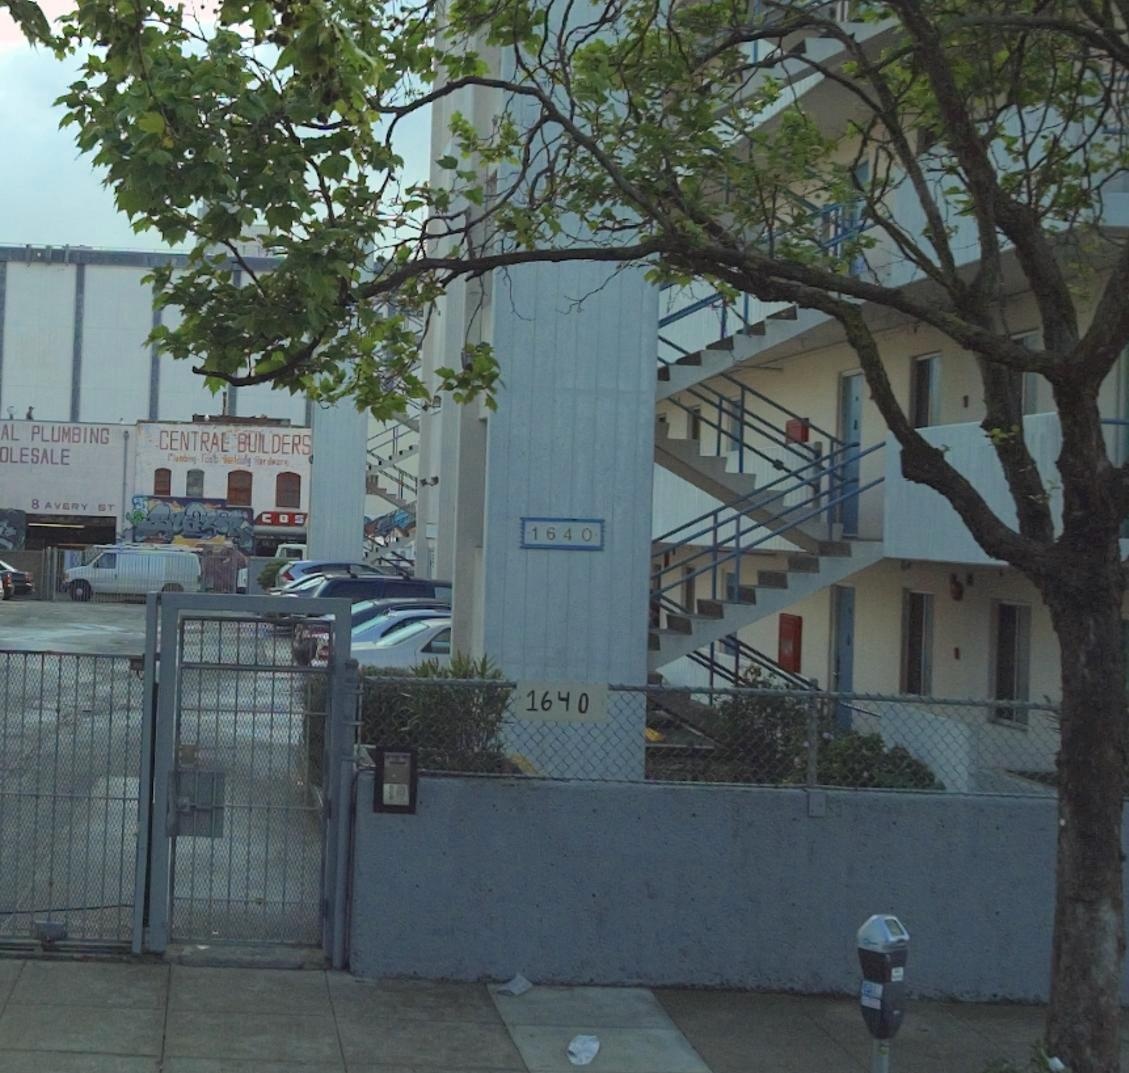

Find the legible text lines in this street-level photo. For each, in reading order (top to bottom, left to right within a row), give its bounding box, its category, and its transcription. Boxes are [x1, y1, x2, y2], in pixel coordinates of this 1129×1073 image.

[0, 421, 113, 448] BusinessName: AL PLUMING
[157, 428, 314, 457] BusinessName: CENTRA* BUILDERS
[0, 444, 73, 468] None: OLESALE
[28, 496, 43, 512] StreetNumber: 8
[42, 499, 119, 514] StreetName: AVERY ST
[260, 512, 307, 526] None: COS
[530, 524, 595, 544] StreetNumber: 1640
[524, 687, 592, 716] StreetNumber: 1640